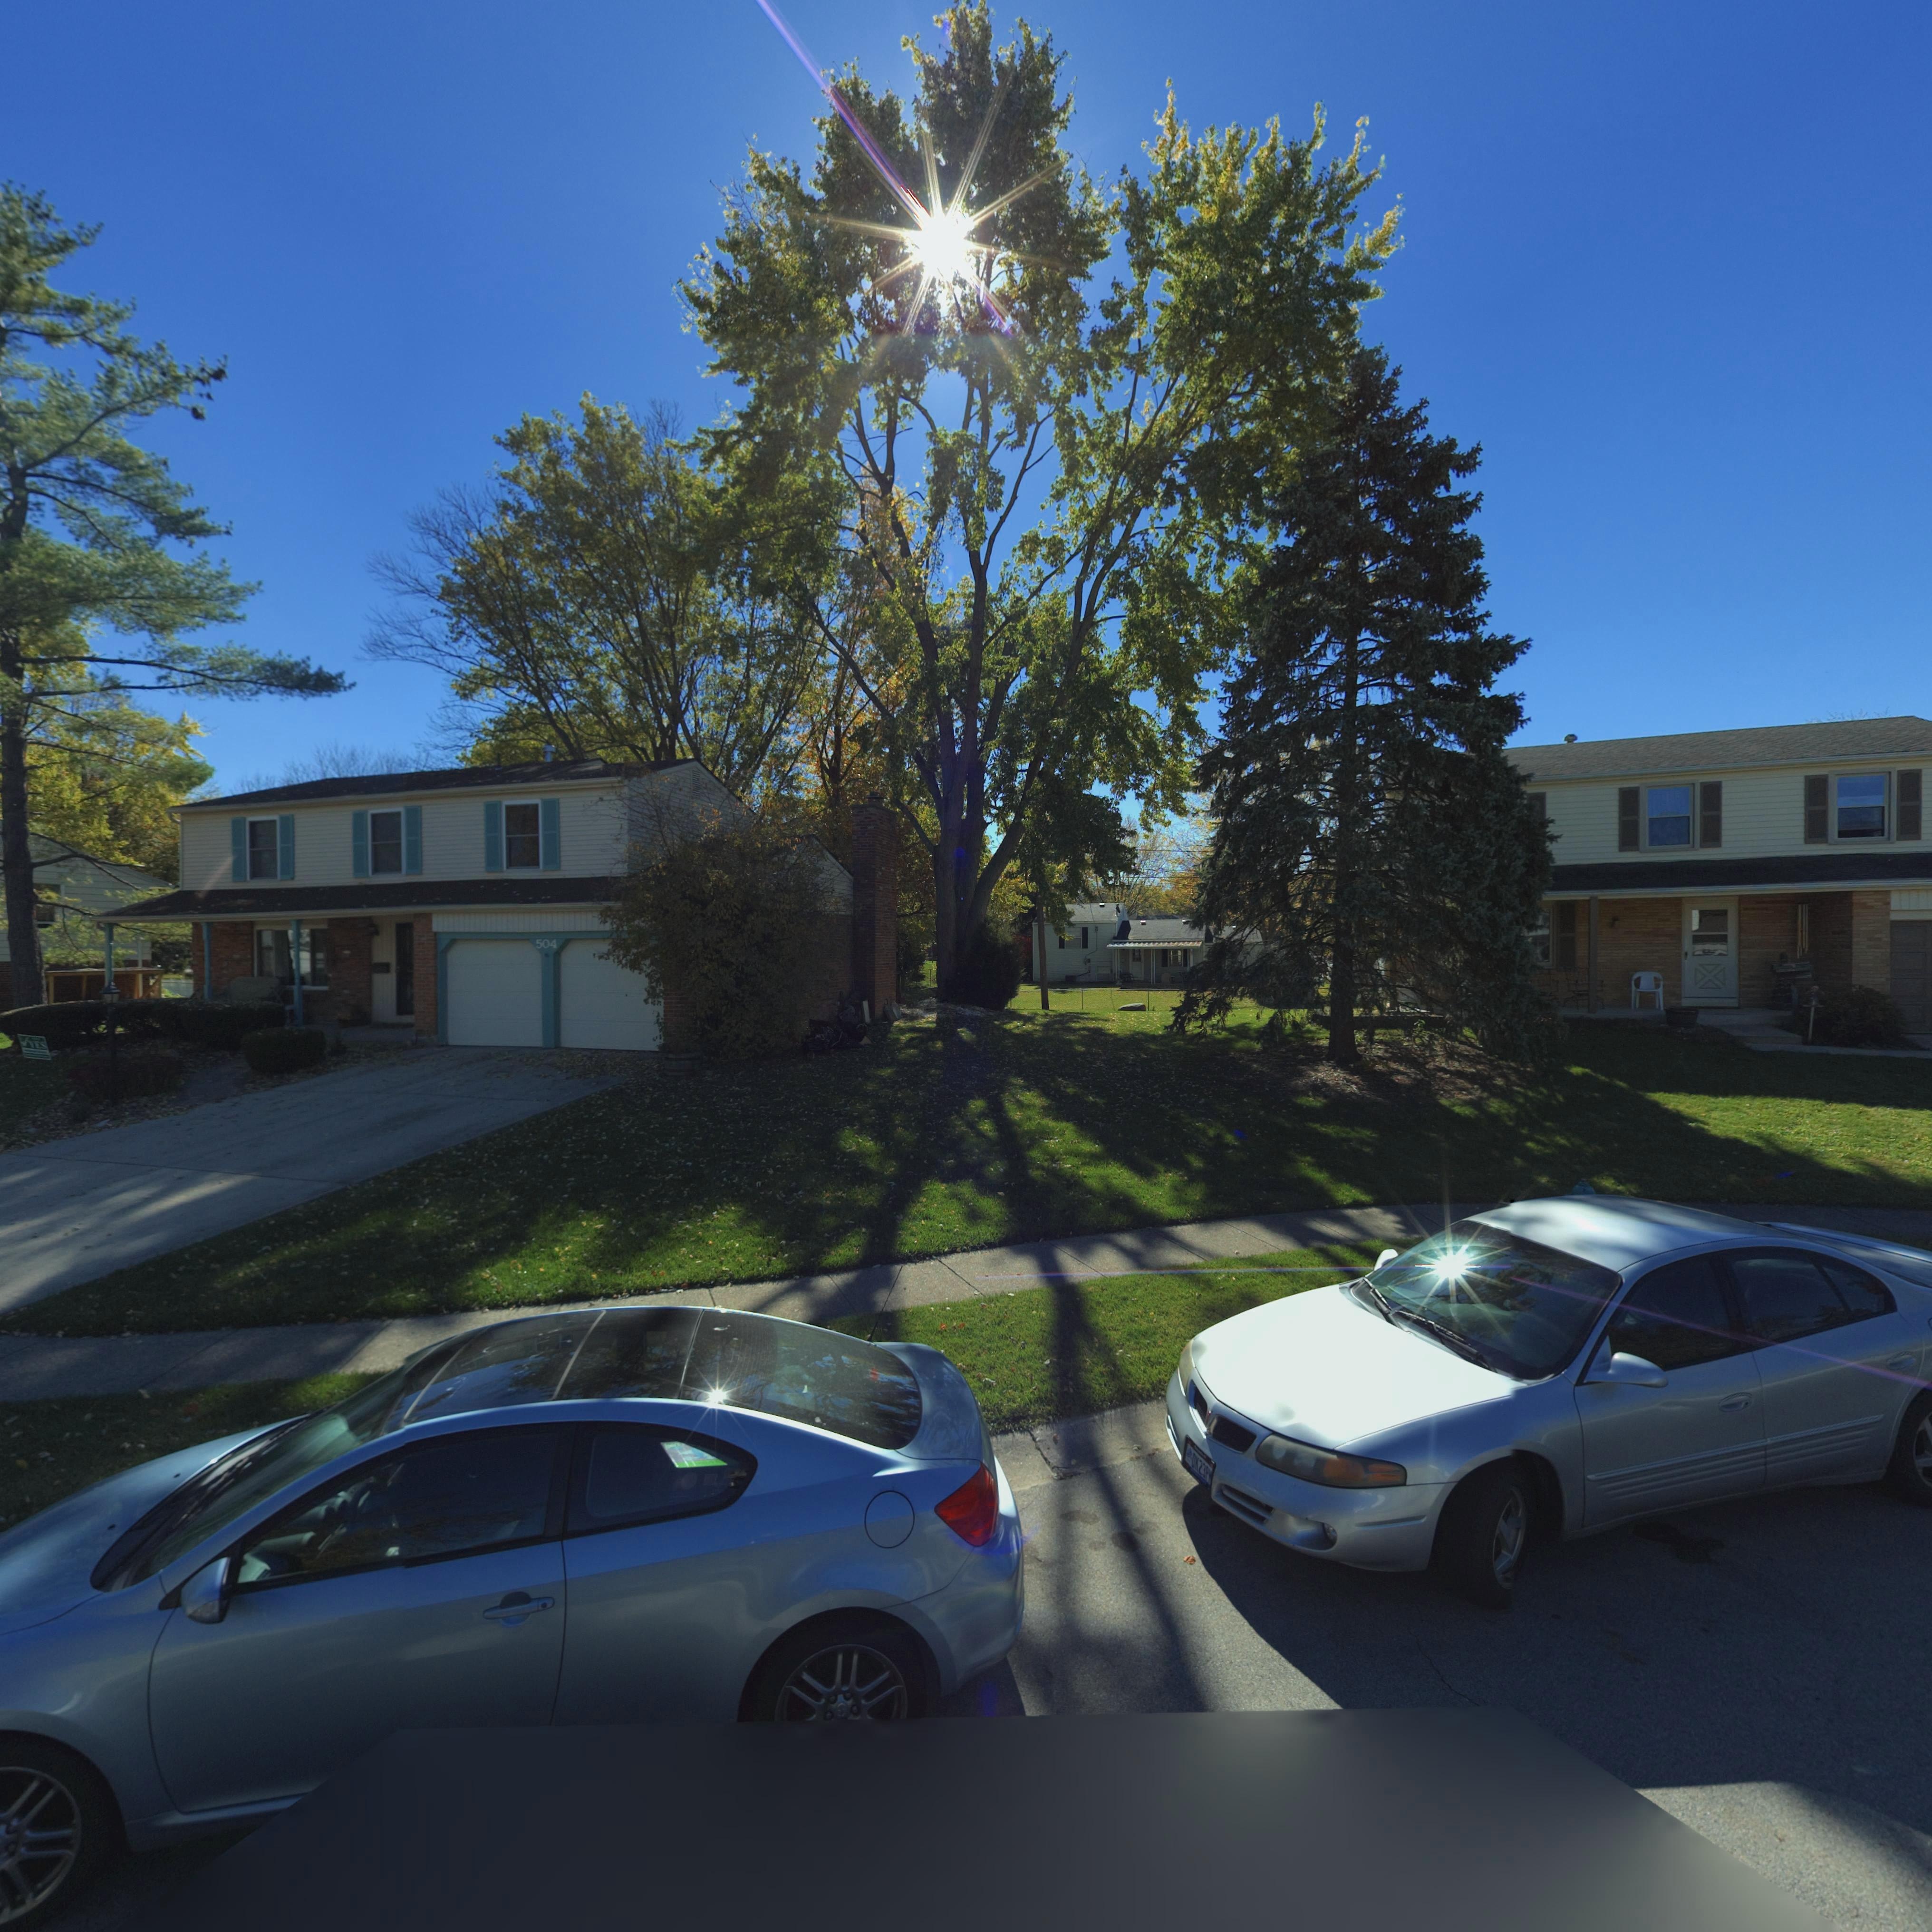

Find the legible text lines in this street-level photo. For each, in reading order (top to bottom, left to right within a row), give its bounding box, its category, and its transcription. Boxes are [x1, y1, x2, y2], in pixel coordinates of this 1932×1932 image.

[535, 938, 558, 950] StreetNumber: 504